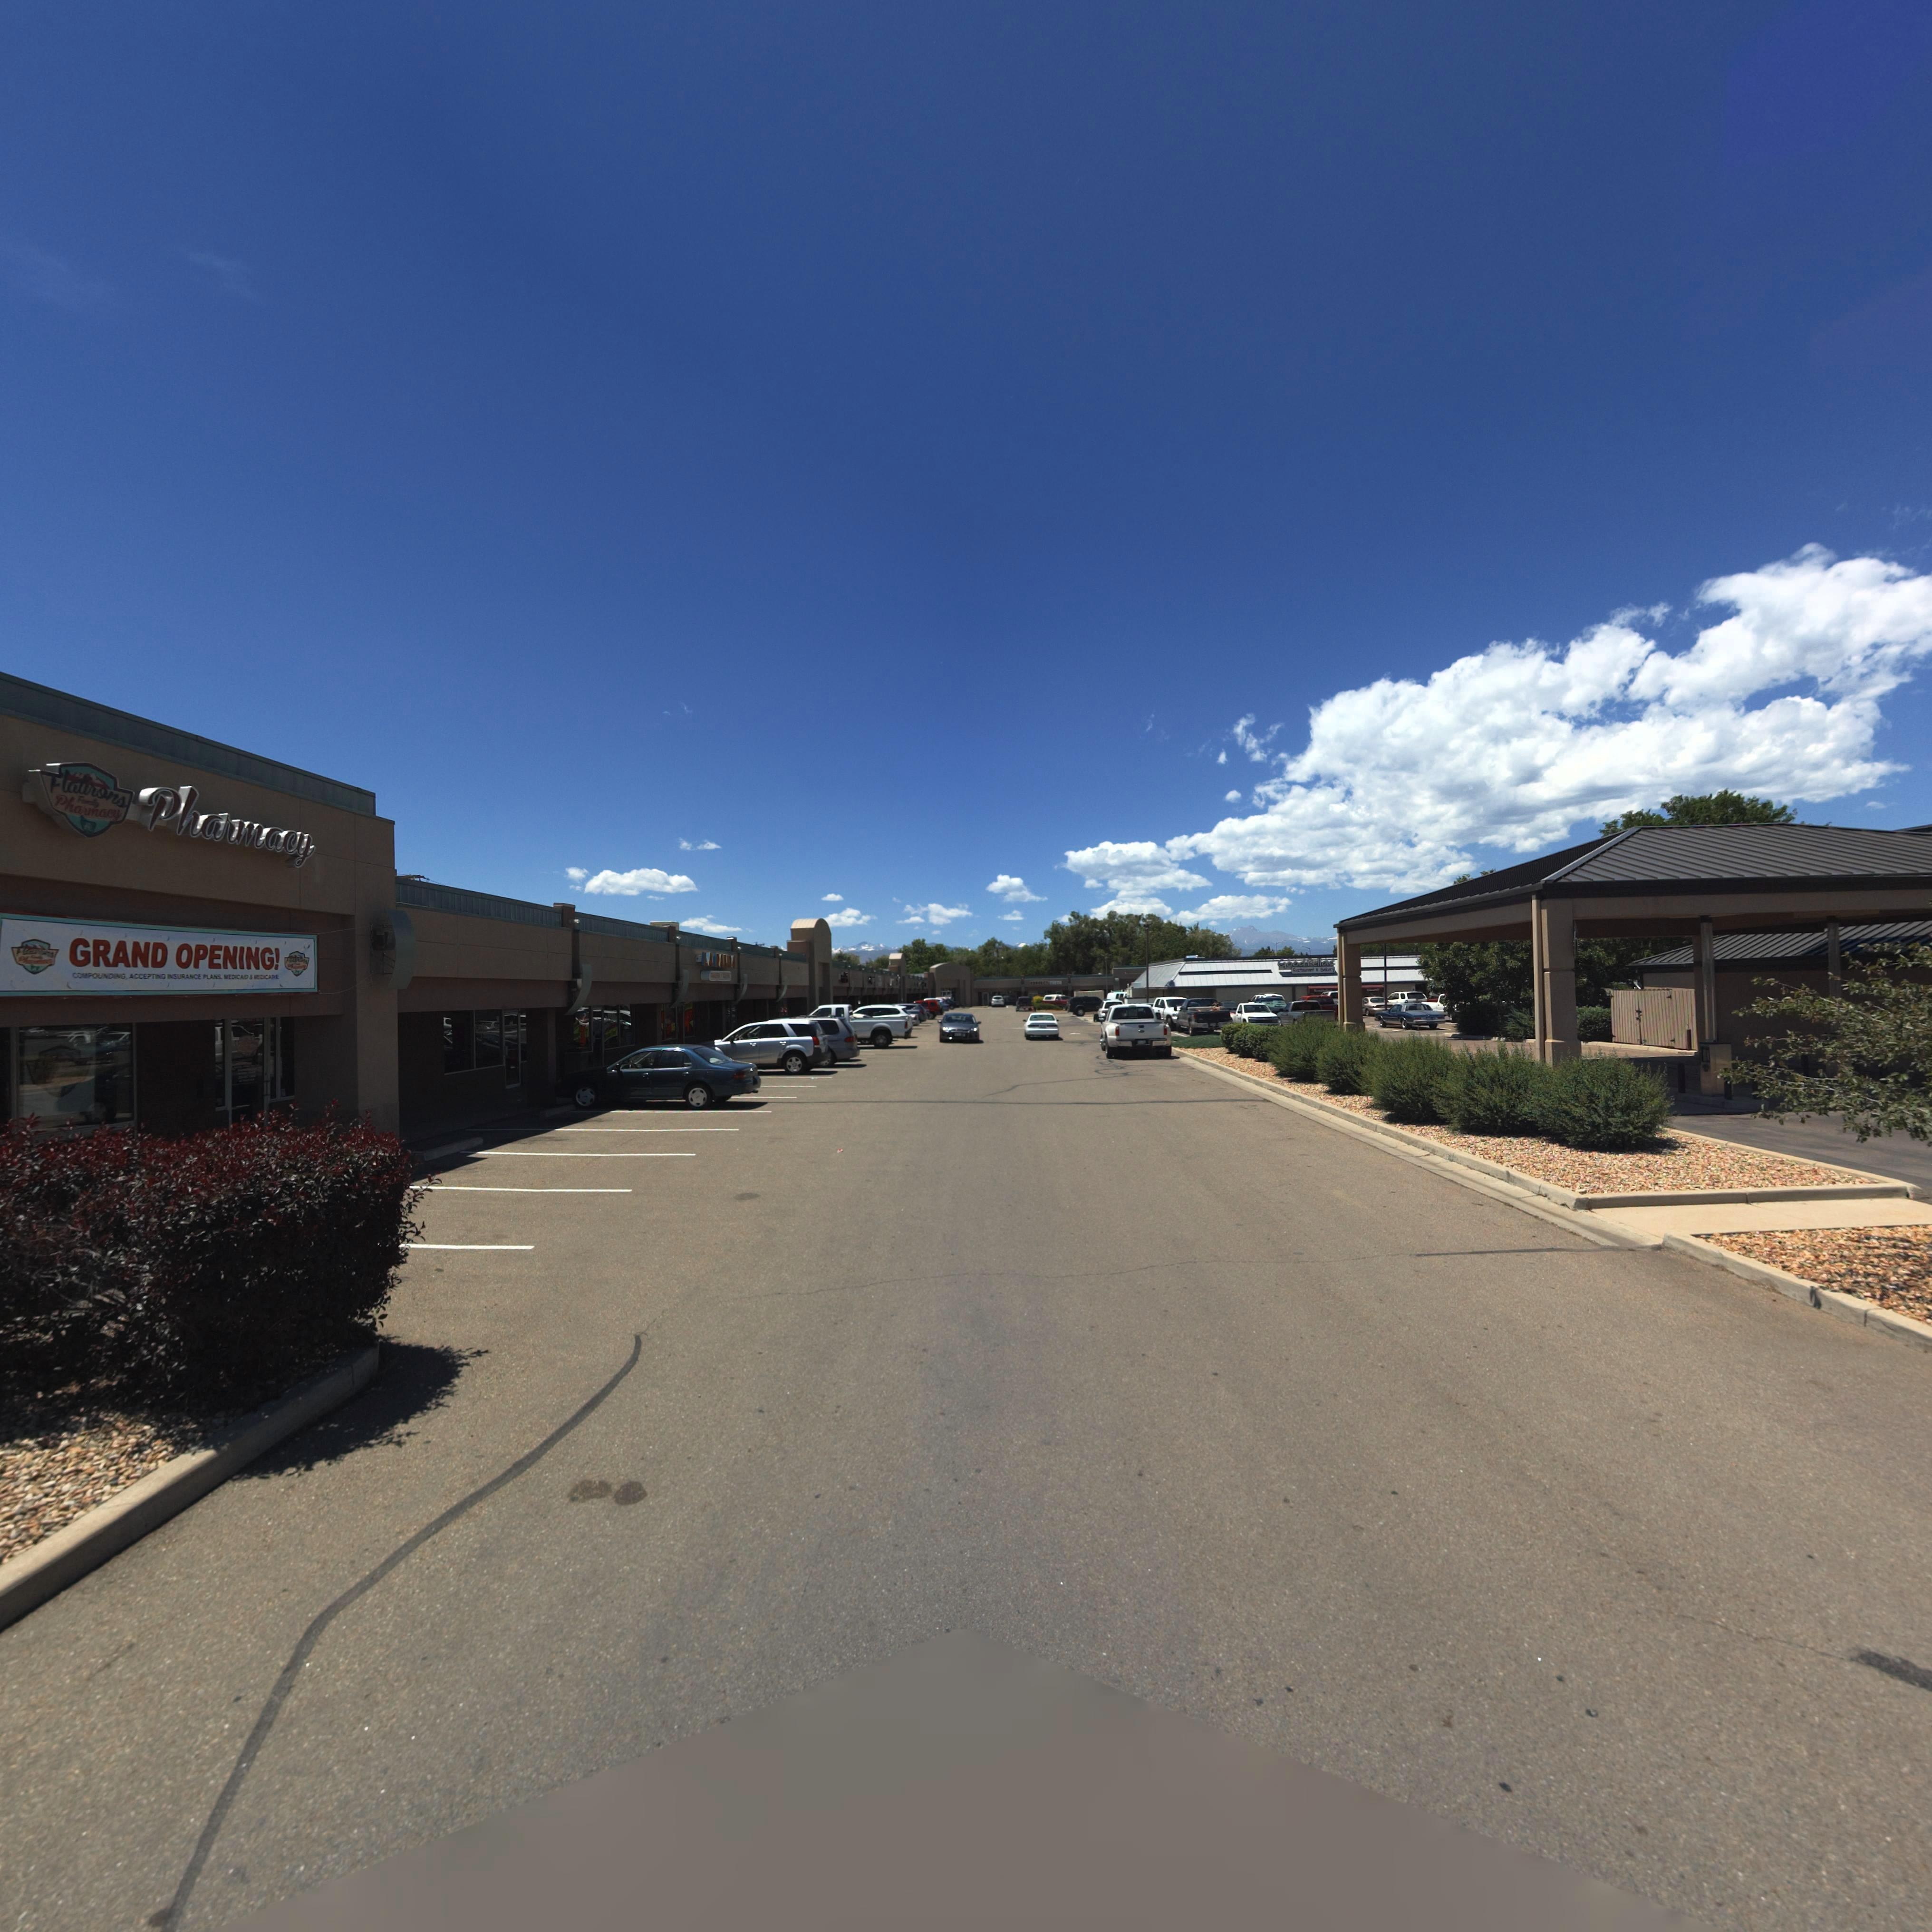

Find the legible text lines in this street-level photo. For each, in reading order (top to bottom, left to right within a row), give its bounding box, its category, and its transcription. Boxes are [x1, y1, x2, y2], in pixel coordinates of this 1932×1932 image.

[49, 768, 128, 808] BusinessName: Flatirons
[75, 795, 99, 808] BusinessName: Family
[52, 793, 122, 821] BusinessName: Pharmacy
[145, 786, 316, 869] BusinessName: Pharmacy
[14, 943, 55, 959] BusinessName: flatirons
[17, 955, 52, 965] BusinessName: Pharm**y
[702, 951, 735, 969] BusinessName: LA PANDA
[1277, 957, 1335, 968] BusinessName: Goodfellas
[1292, 966, 1334, 972] BusinessName: Restaurant * Bakery
[1030, 980, 1063, 985] BusinessName: PERFECT TEETH